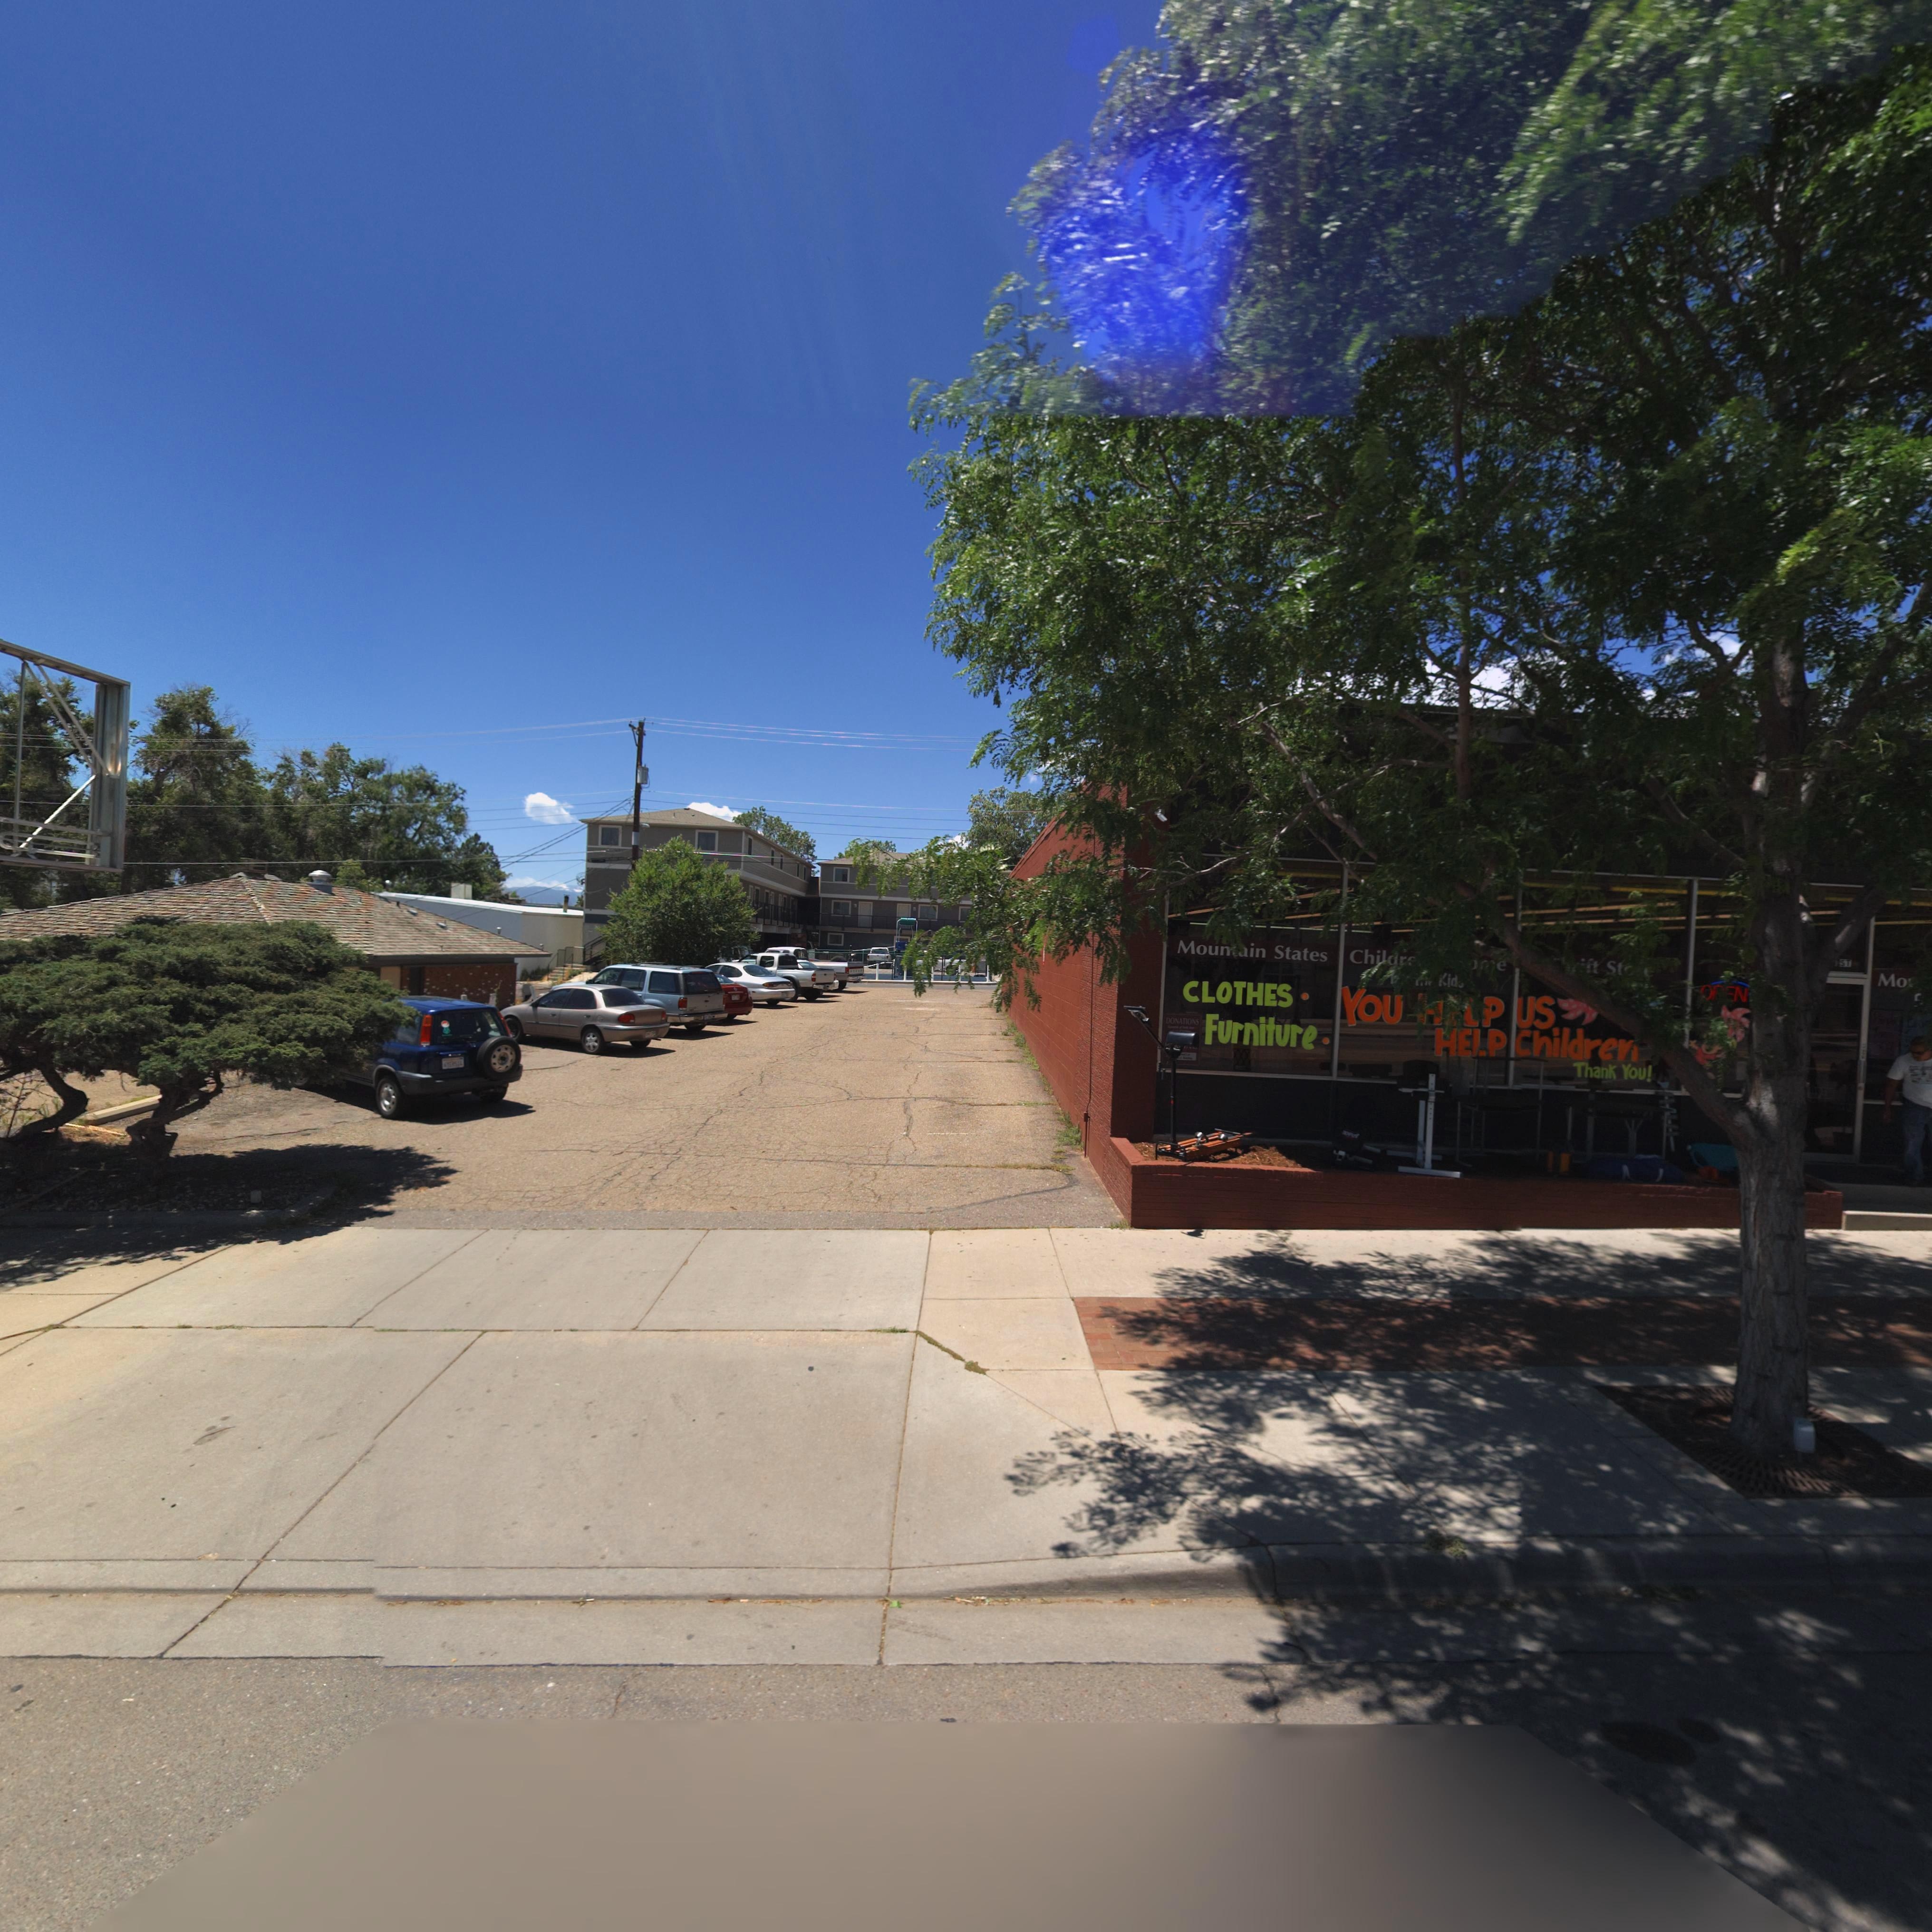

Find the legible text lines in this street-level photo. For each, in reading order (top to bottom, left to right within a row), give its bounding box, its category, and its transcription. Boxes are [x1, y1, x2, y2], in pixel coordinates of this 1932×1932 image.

[1174, 937, 1332, 964] StreetName: Mountain States
[1839, 959, 1851, 966] StreetName: ST
[1878, 973, 1907, 987] StreetNumber: Mo